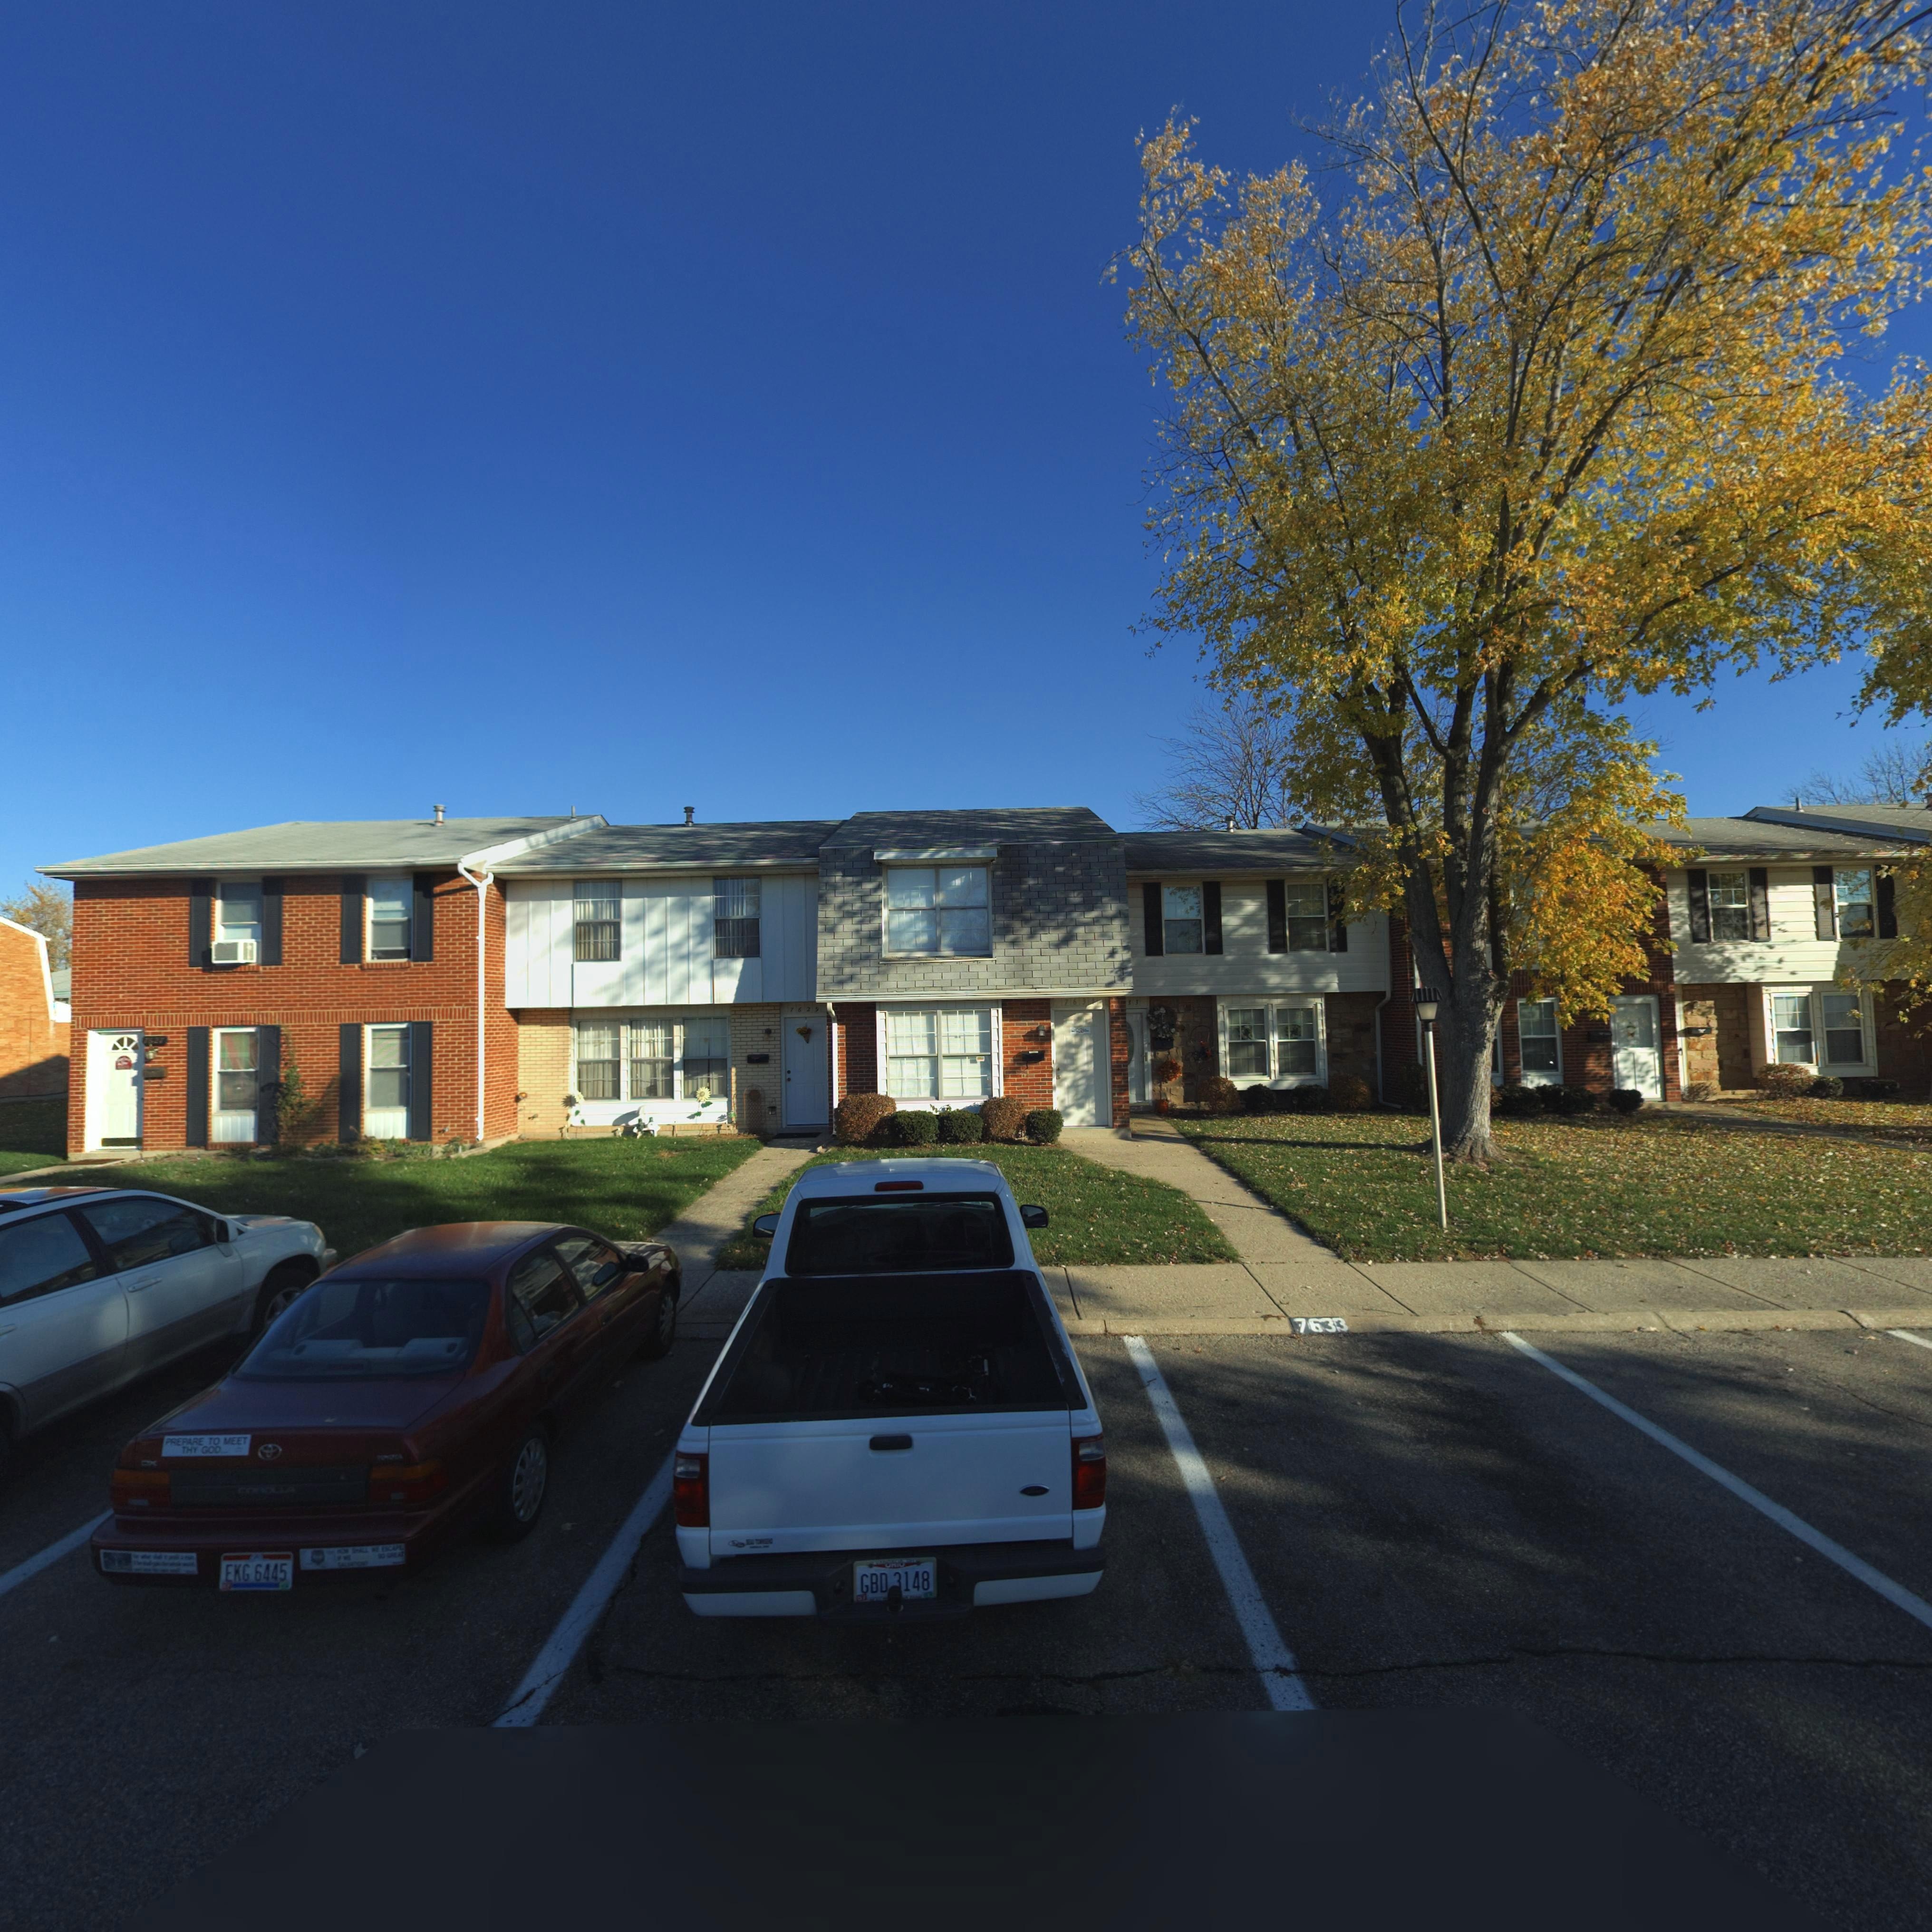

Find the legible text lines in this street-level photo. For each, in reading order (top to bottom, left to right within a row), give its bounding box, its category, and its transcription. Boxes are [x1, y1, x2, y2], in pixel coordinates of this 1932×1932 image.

[1063, 997, 1095, 1006] StreetNumber: 7631
[1127, 999, 1139, 1005] StreetNumber: 33
[790, 1006, 820, 1013] StreetNumber: 7629
[144, 1037, 166, 1044] StreetNumber: 7627
[1293, 1317, 1350, 1334] StreetNumber: 7633